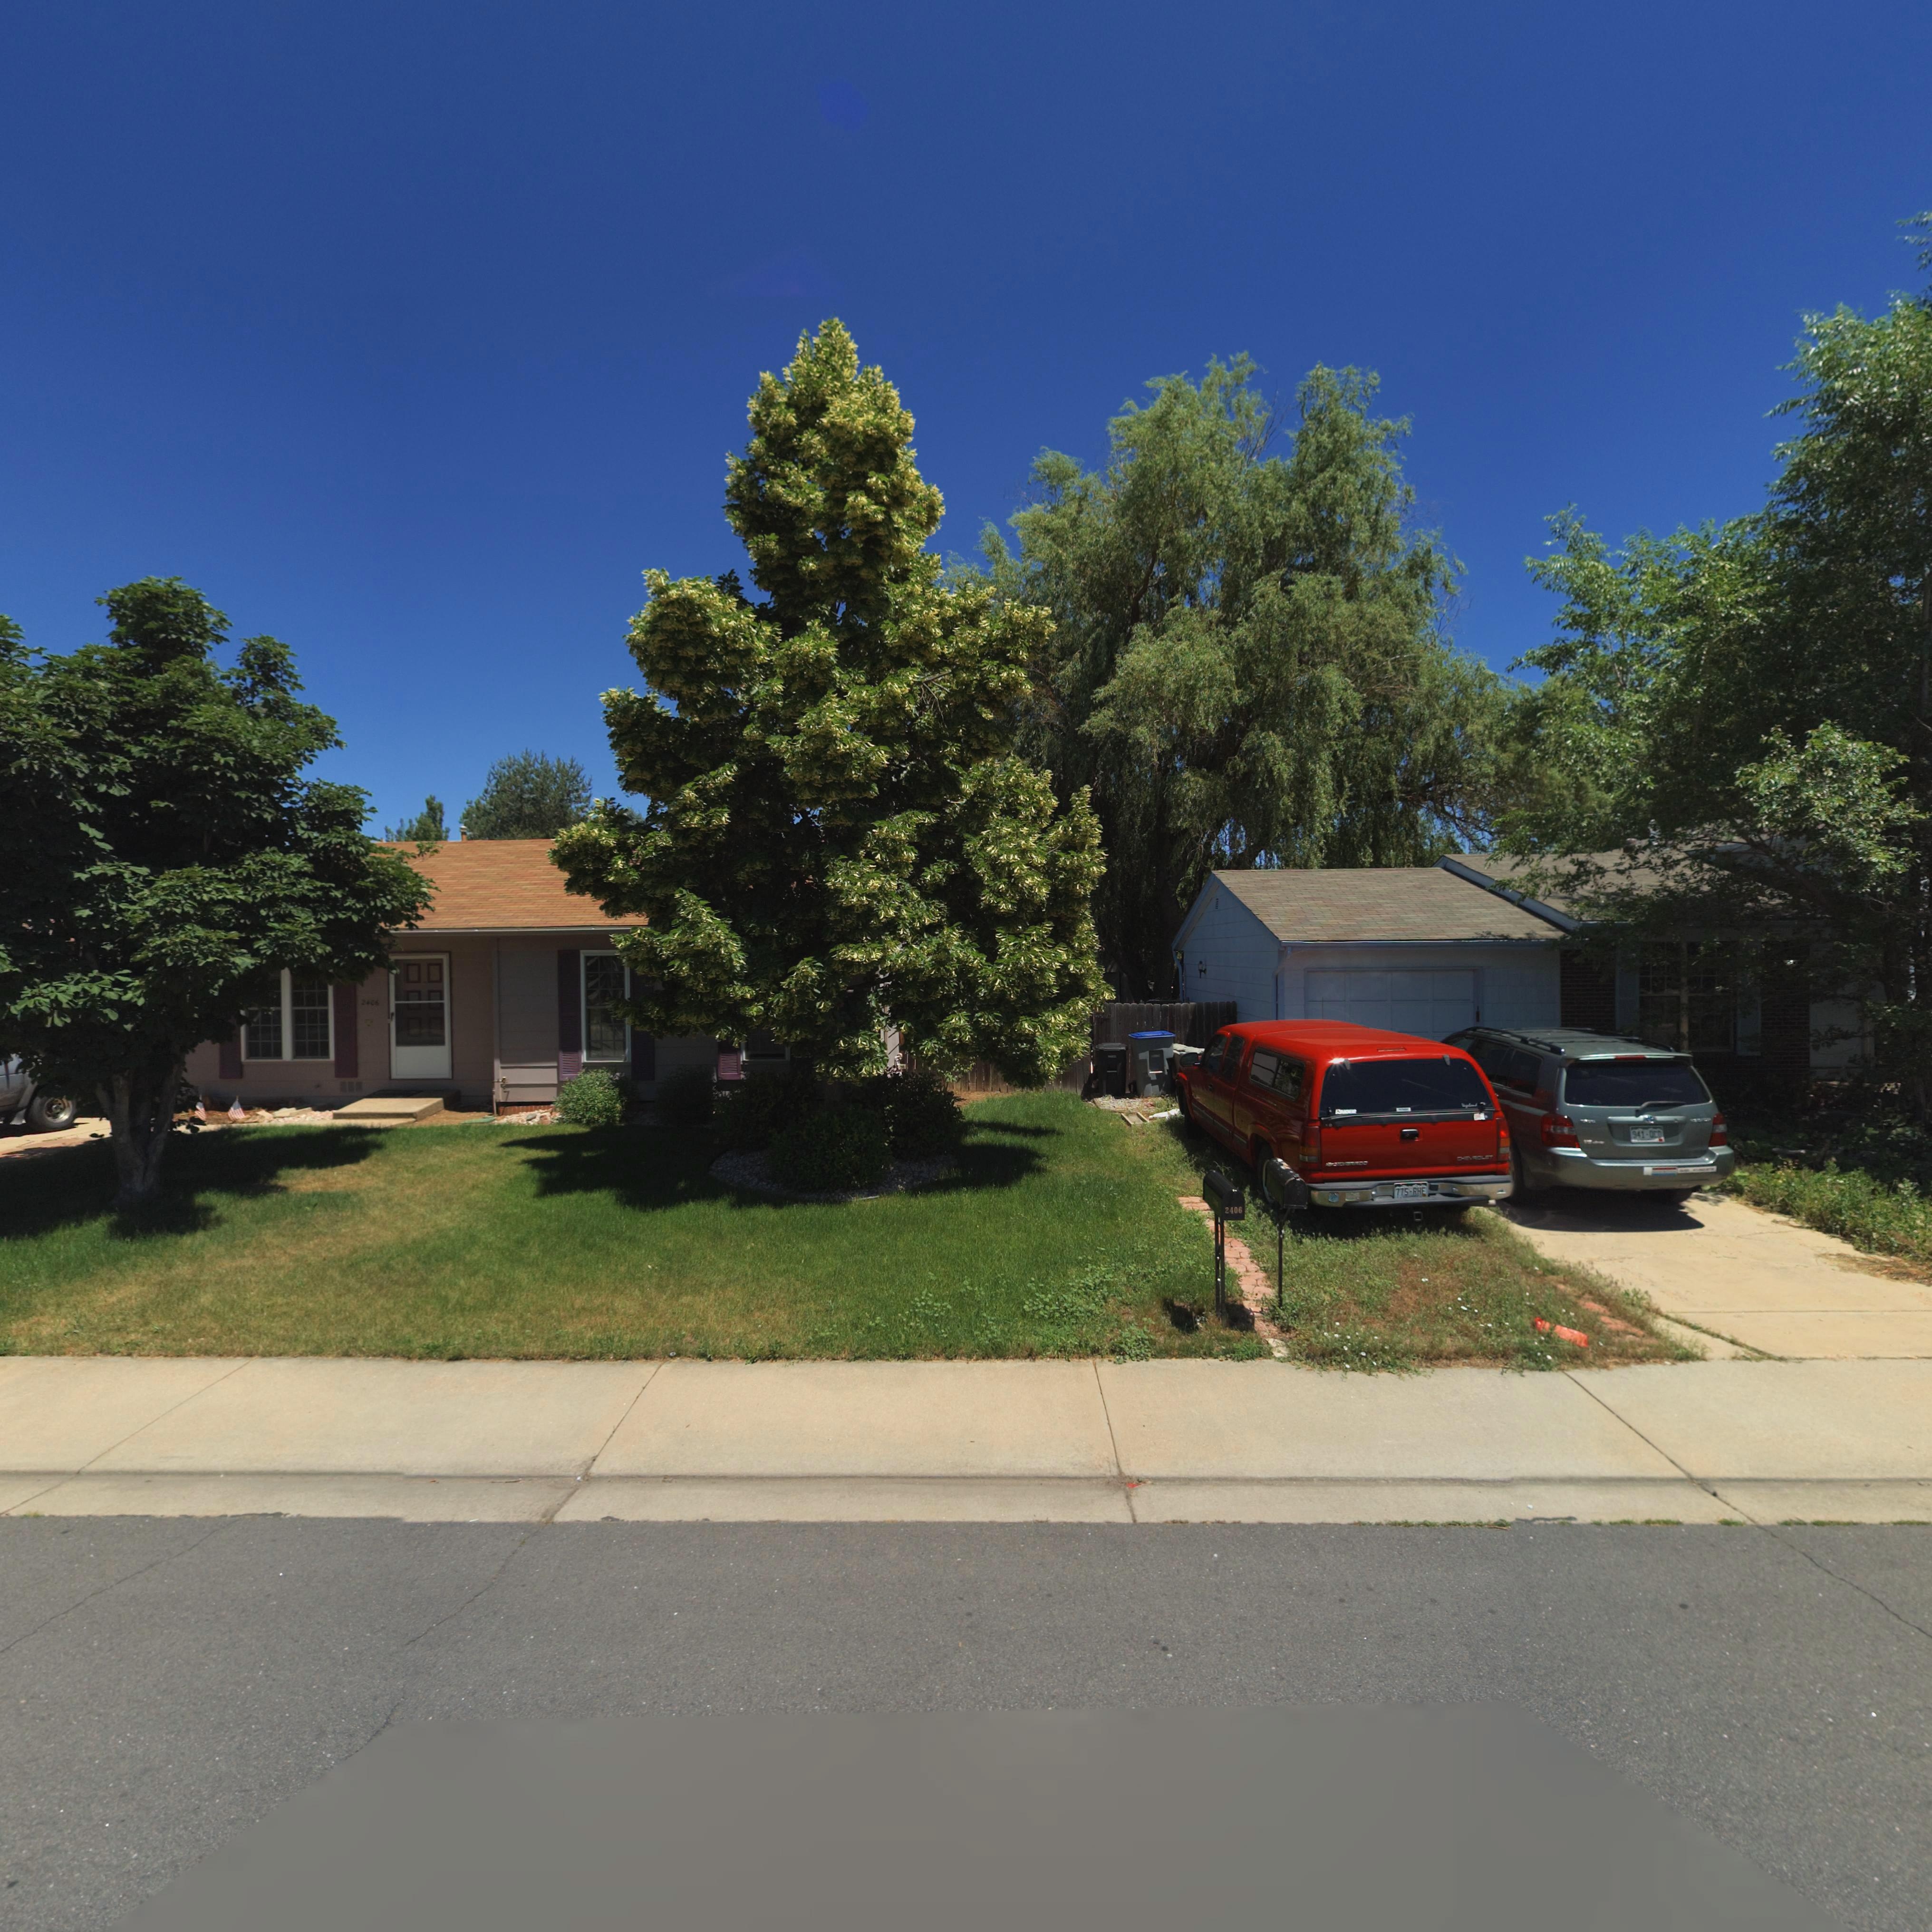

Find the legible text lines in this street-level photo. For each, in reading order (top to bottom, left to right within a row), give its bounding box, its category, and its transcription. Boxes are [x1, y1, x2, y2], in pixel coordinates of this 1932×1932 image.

[361, 999, 379, 1005] StreetNumber: 2406
[1225, 1206, 1242, 1213] StreetNumber: 2406